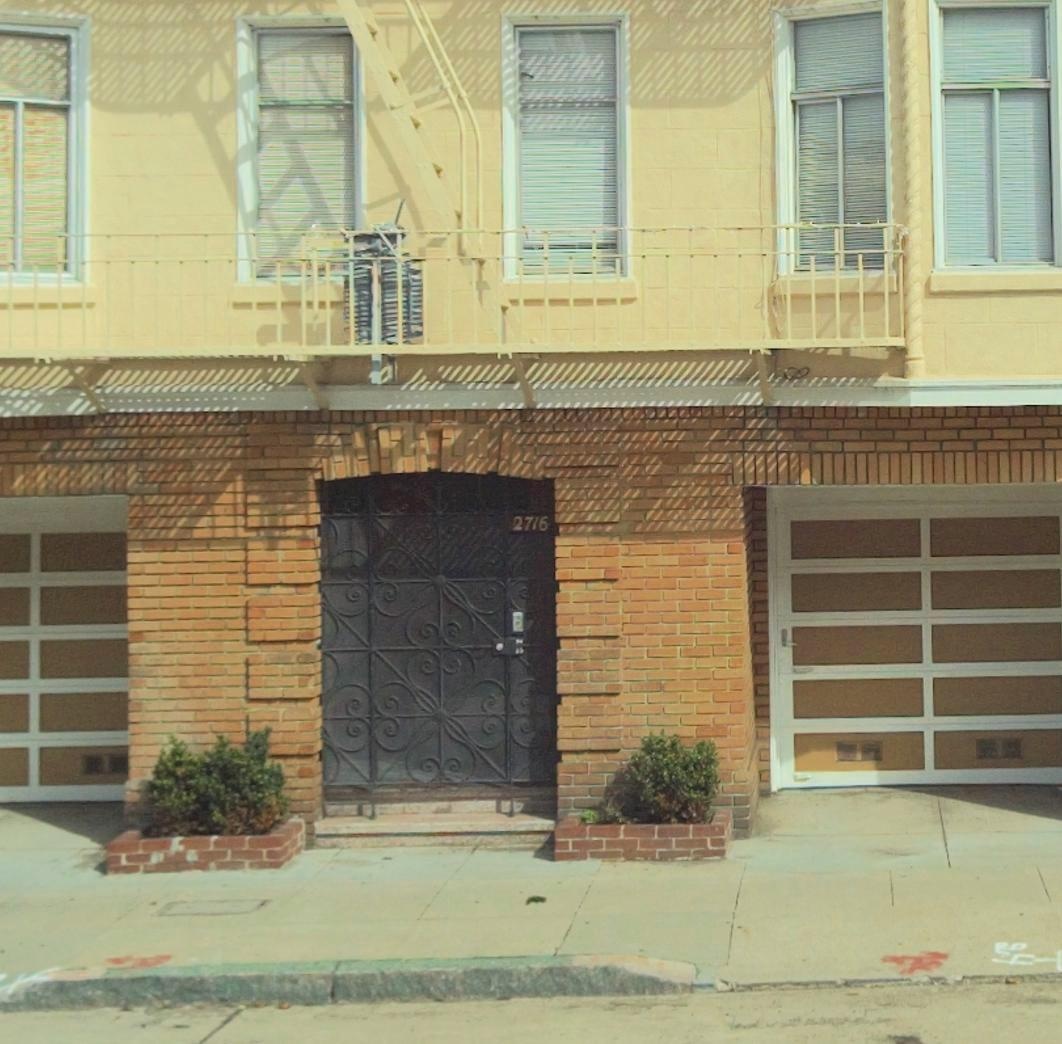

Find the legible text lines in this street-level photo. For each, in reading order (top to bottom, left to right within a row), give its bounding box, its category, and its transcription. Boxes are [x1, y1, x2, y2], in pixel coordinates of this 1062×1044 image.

[511, 514, 550, 533] StreetNumber: 2716